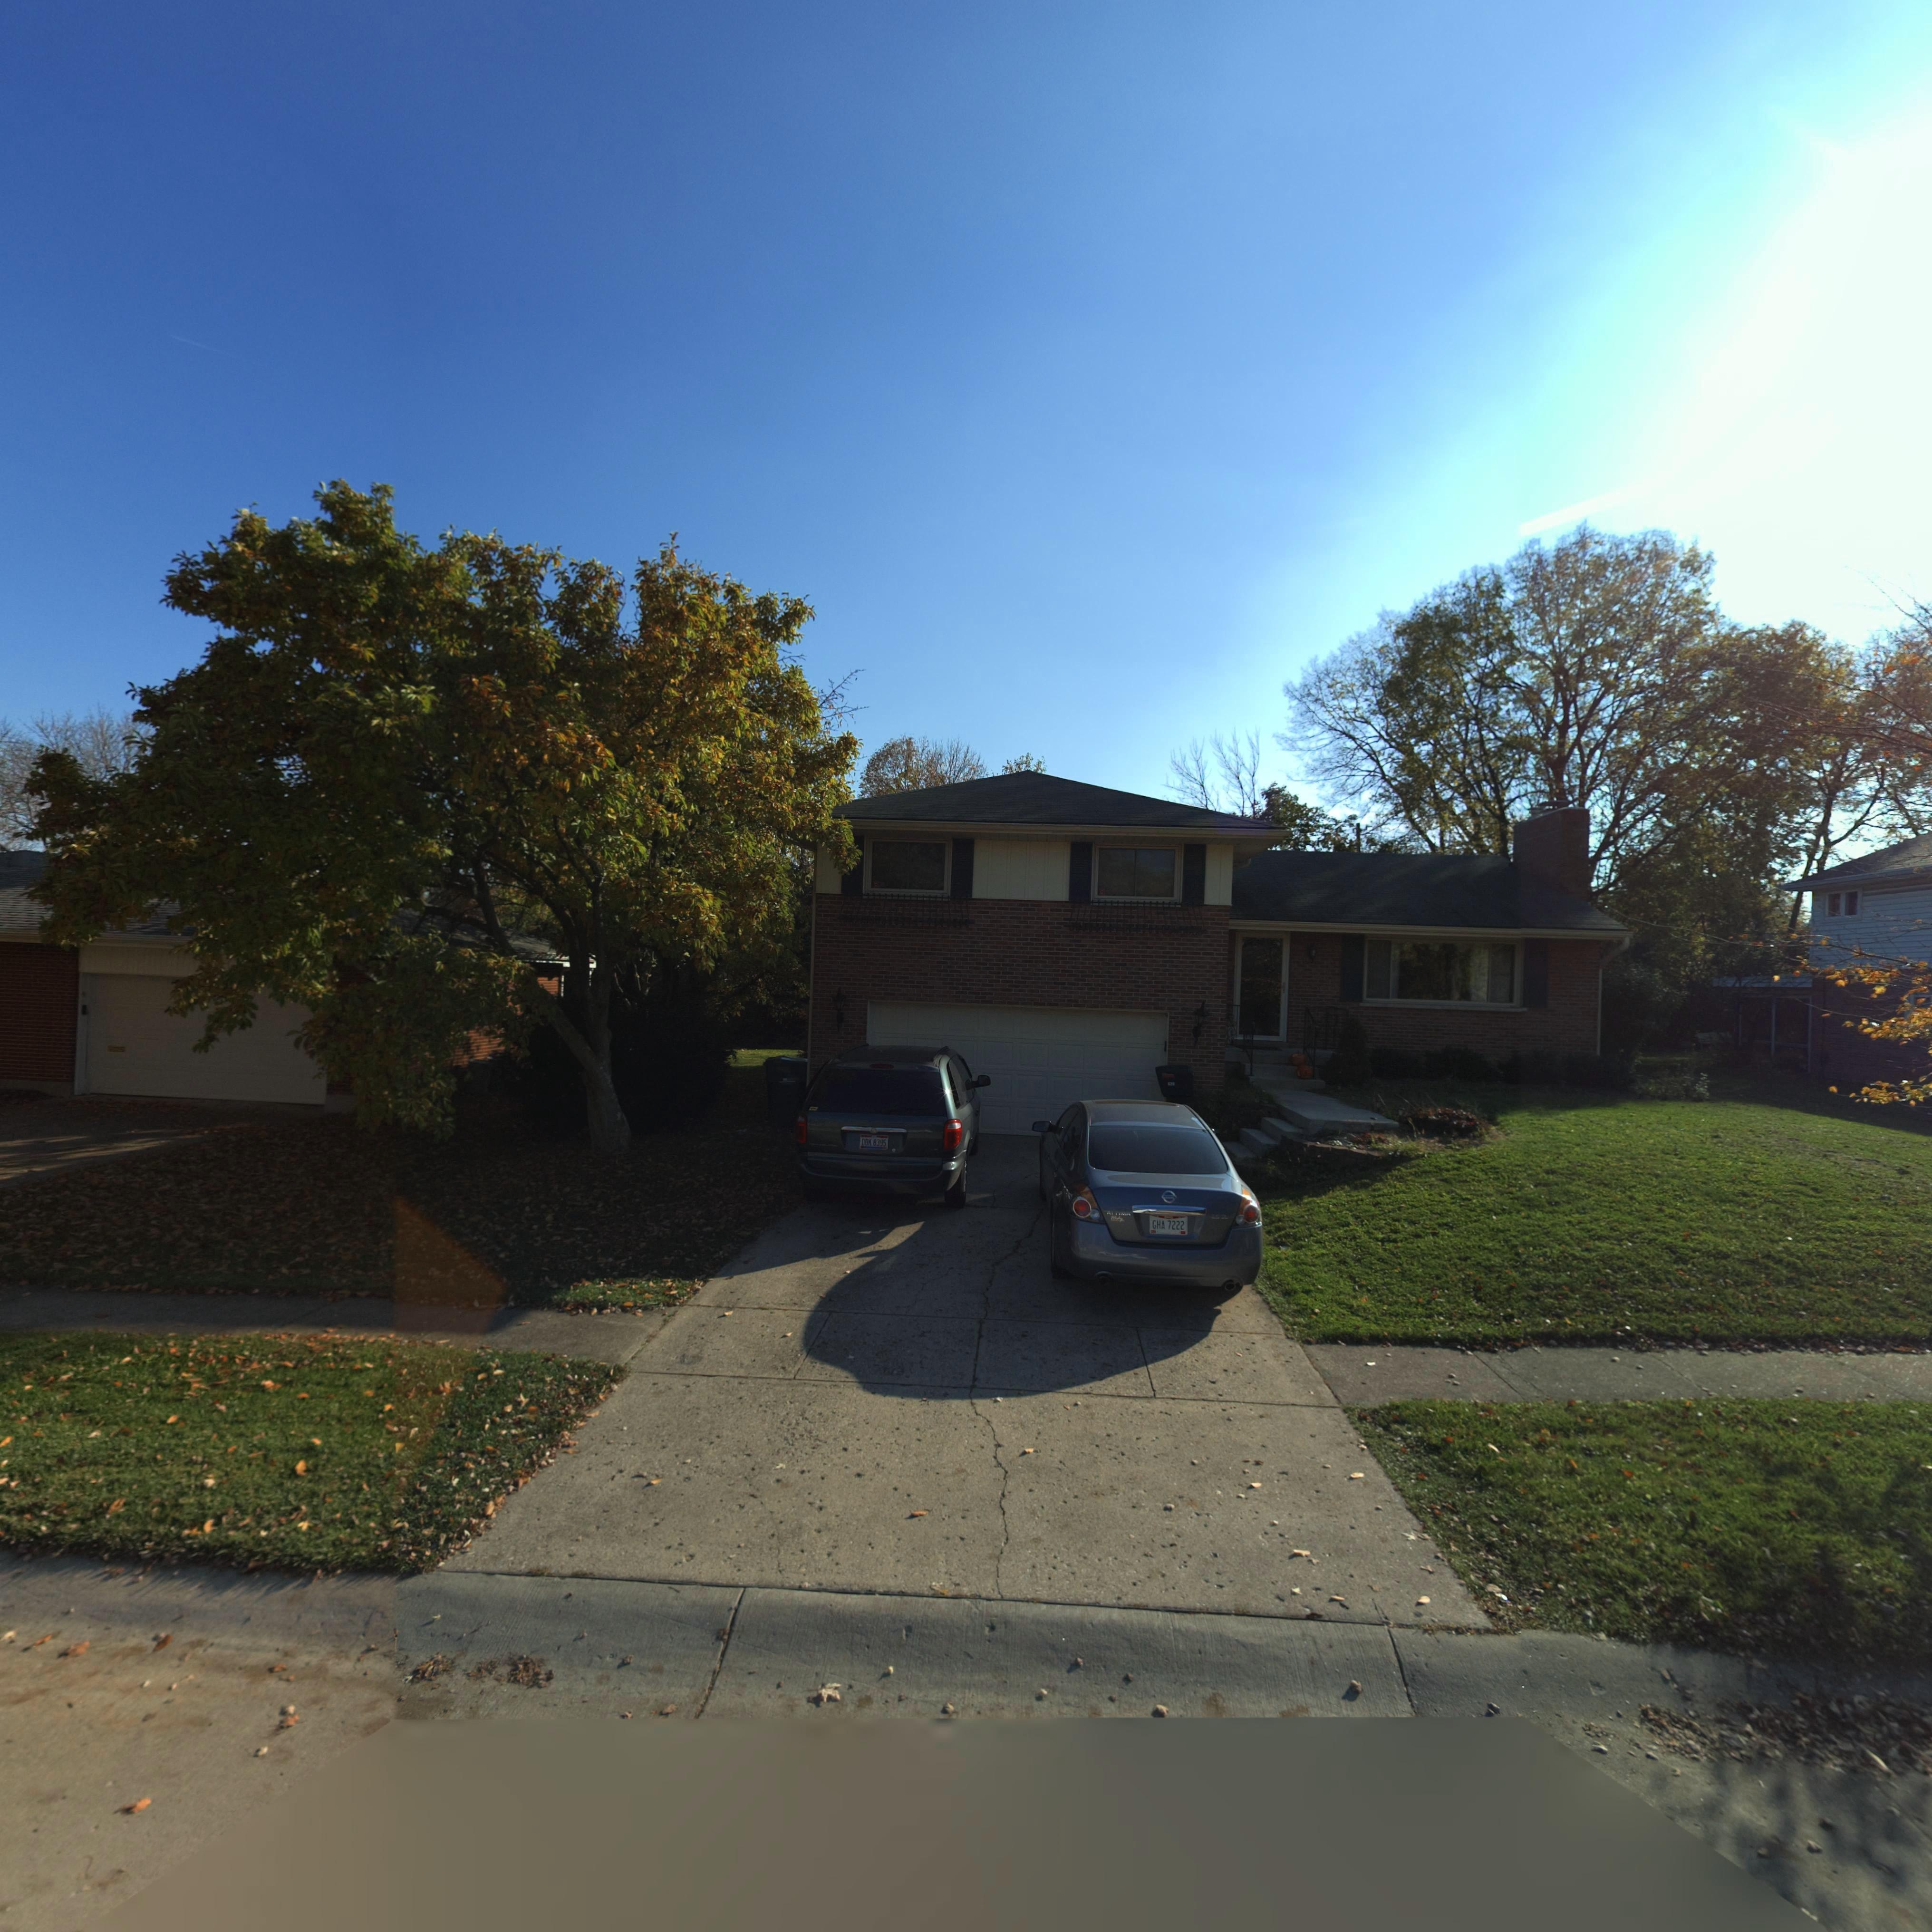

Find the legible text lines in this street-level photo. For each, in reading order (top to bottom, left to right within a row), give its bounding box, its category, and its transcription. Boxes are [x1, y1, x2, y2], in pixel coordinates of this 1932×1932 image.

[1168, 1082, 1175, 1086] StreetNumber: 628